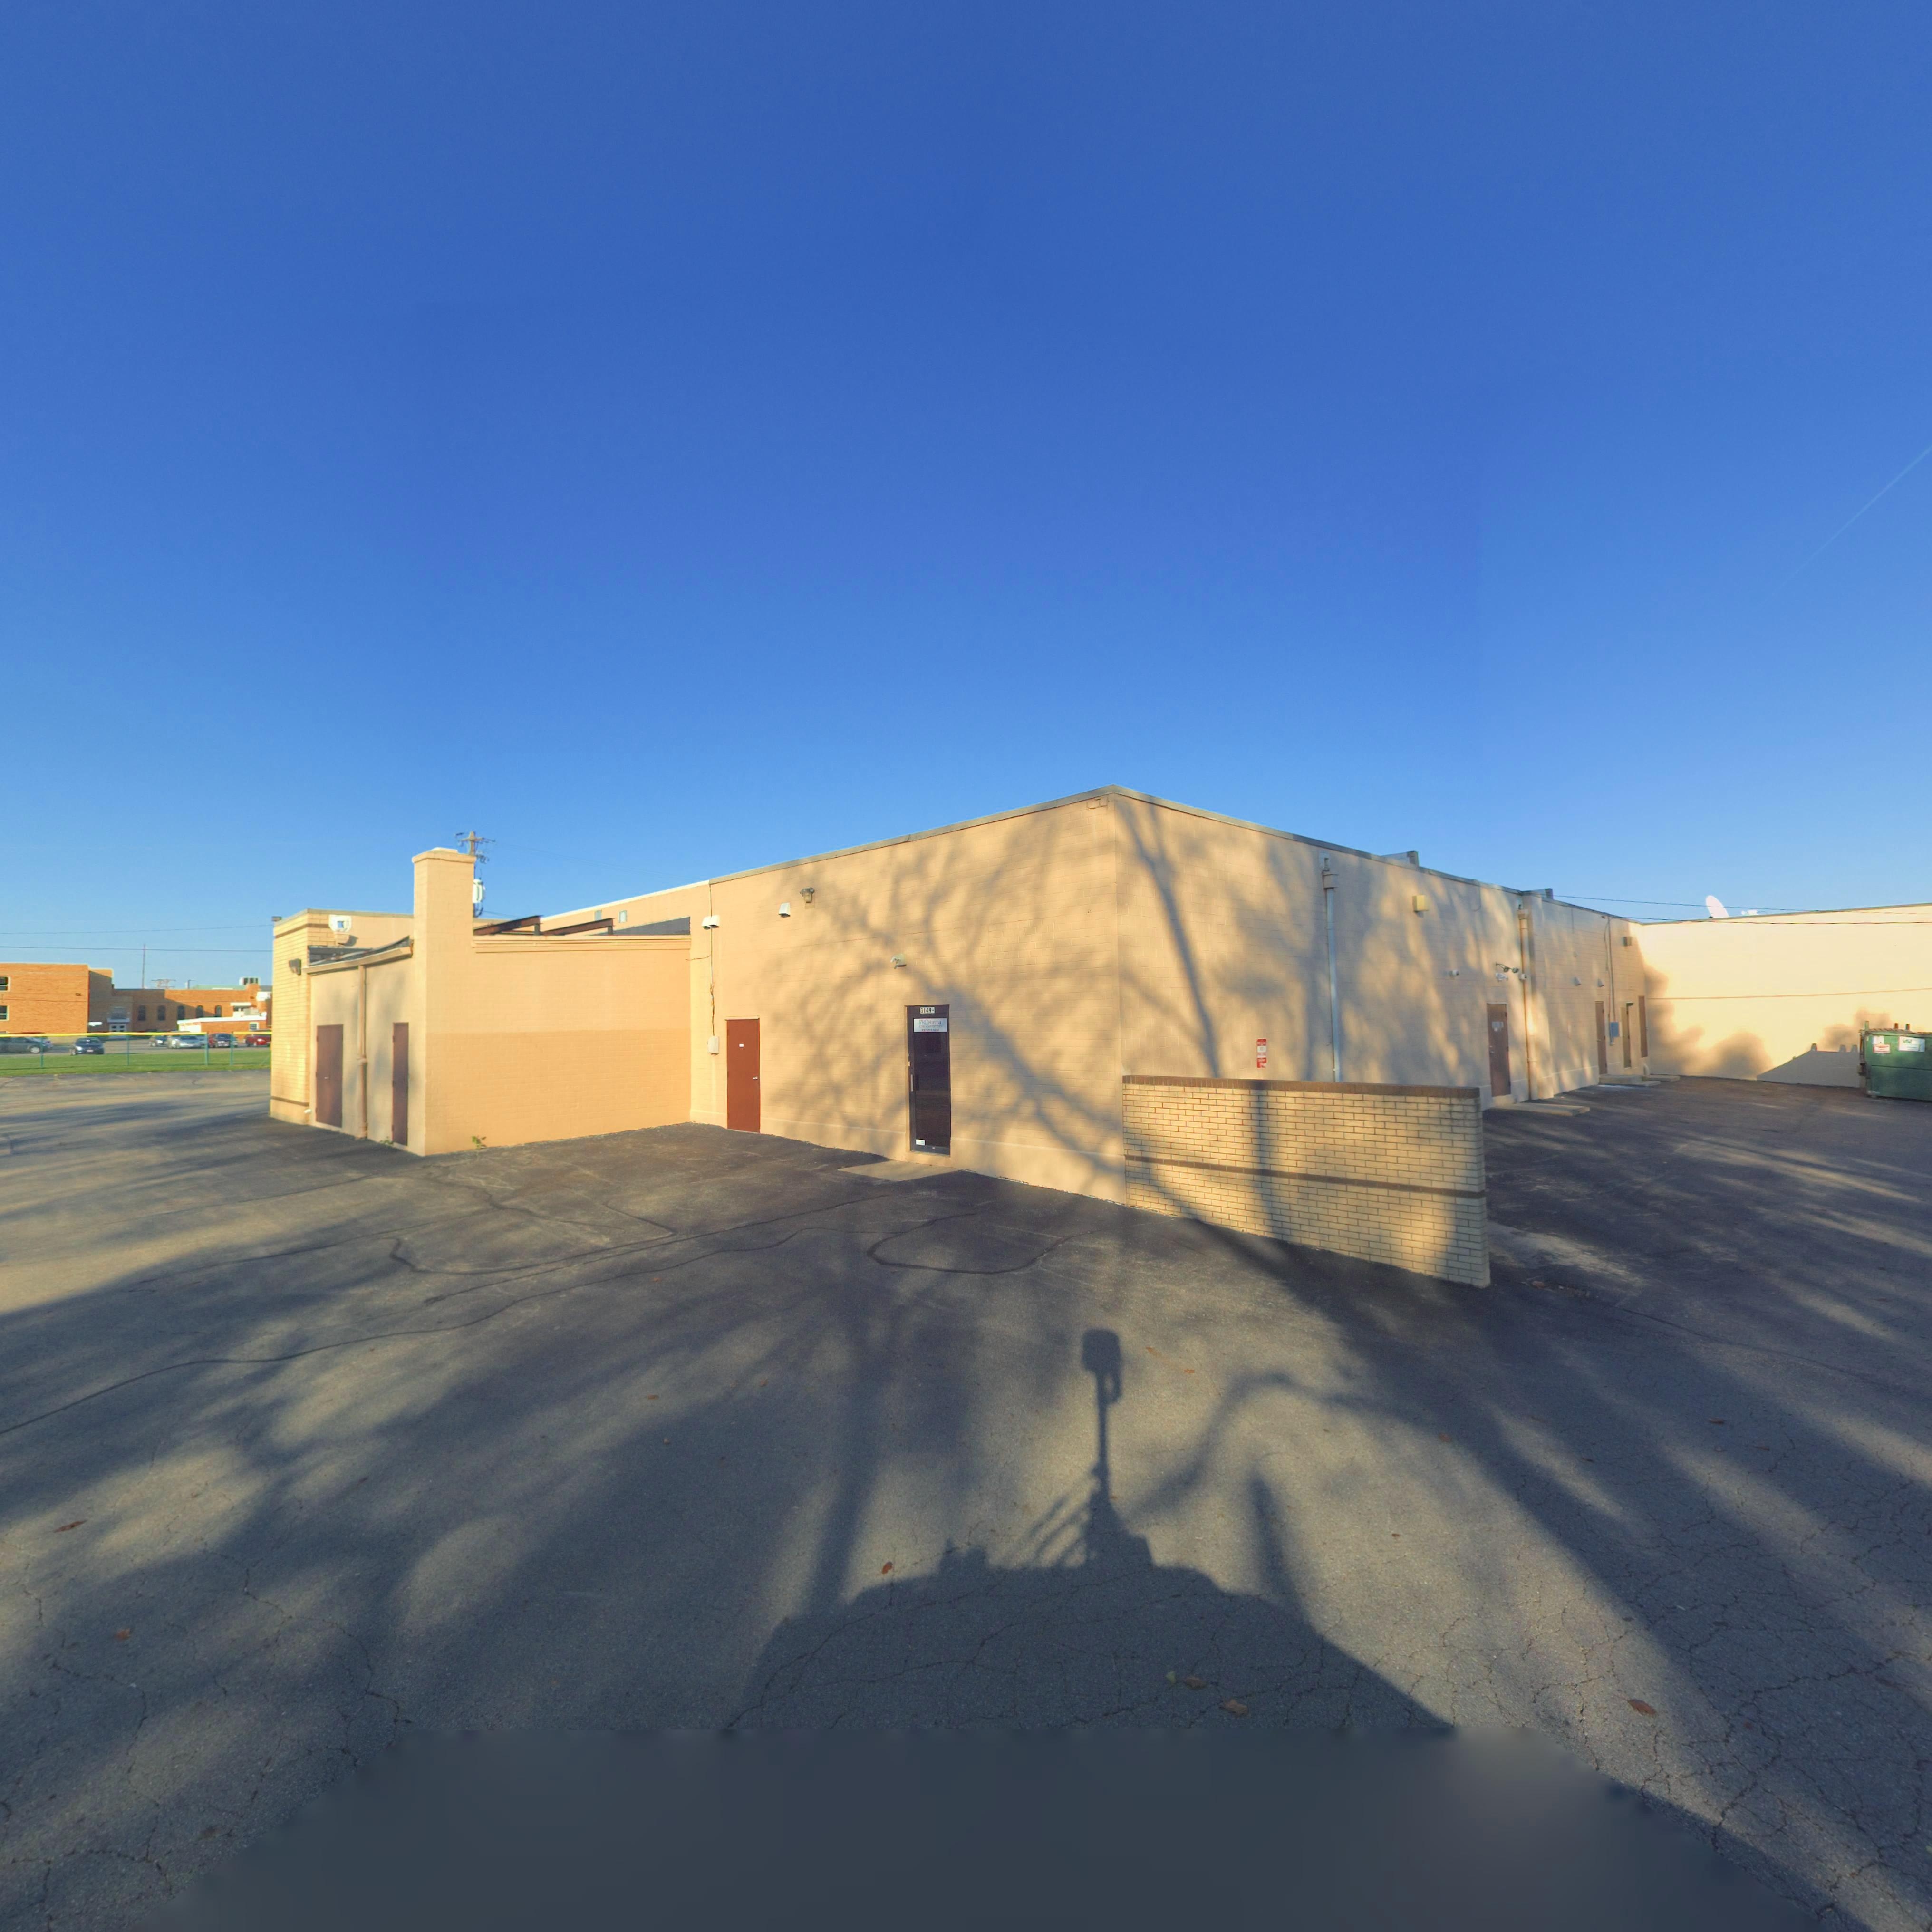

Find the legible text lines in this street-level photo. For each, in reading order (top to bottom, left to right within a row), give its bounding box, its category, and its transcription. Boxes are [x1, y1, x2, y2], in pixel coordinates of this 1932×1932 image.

[920, 1007, 932, 1013] StreetNumber: 3149
[918, 1018, 942, 1025] BusinessName: PROforma